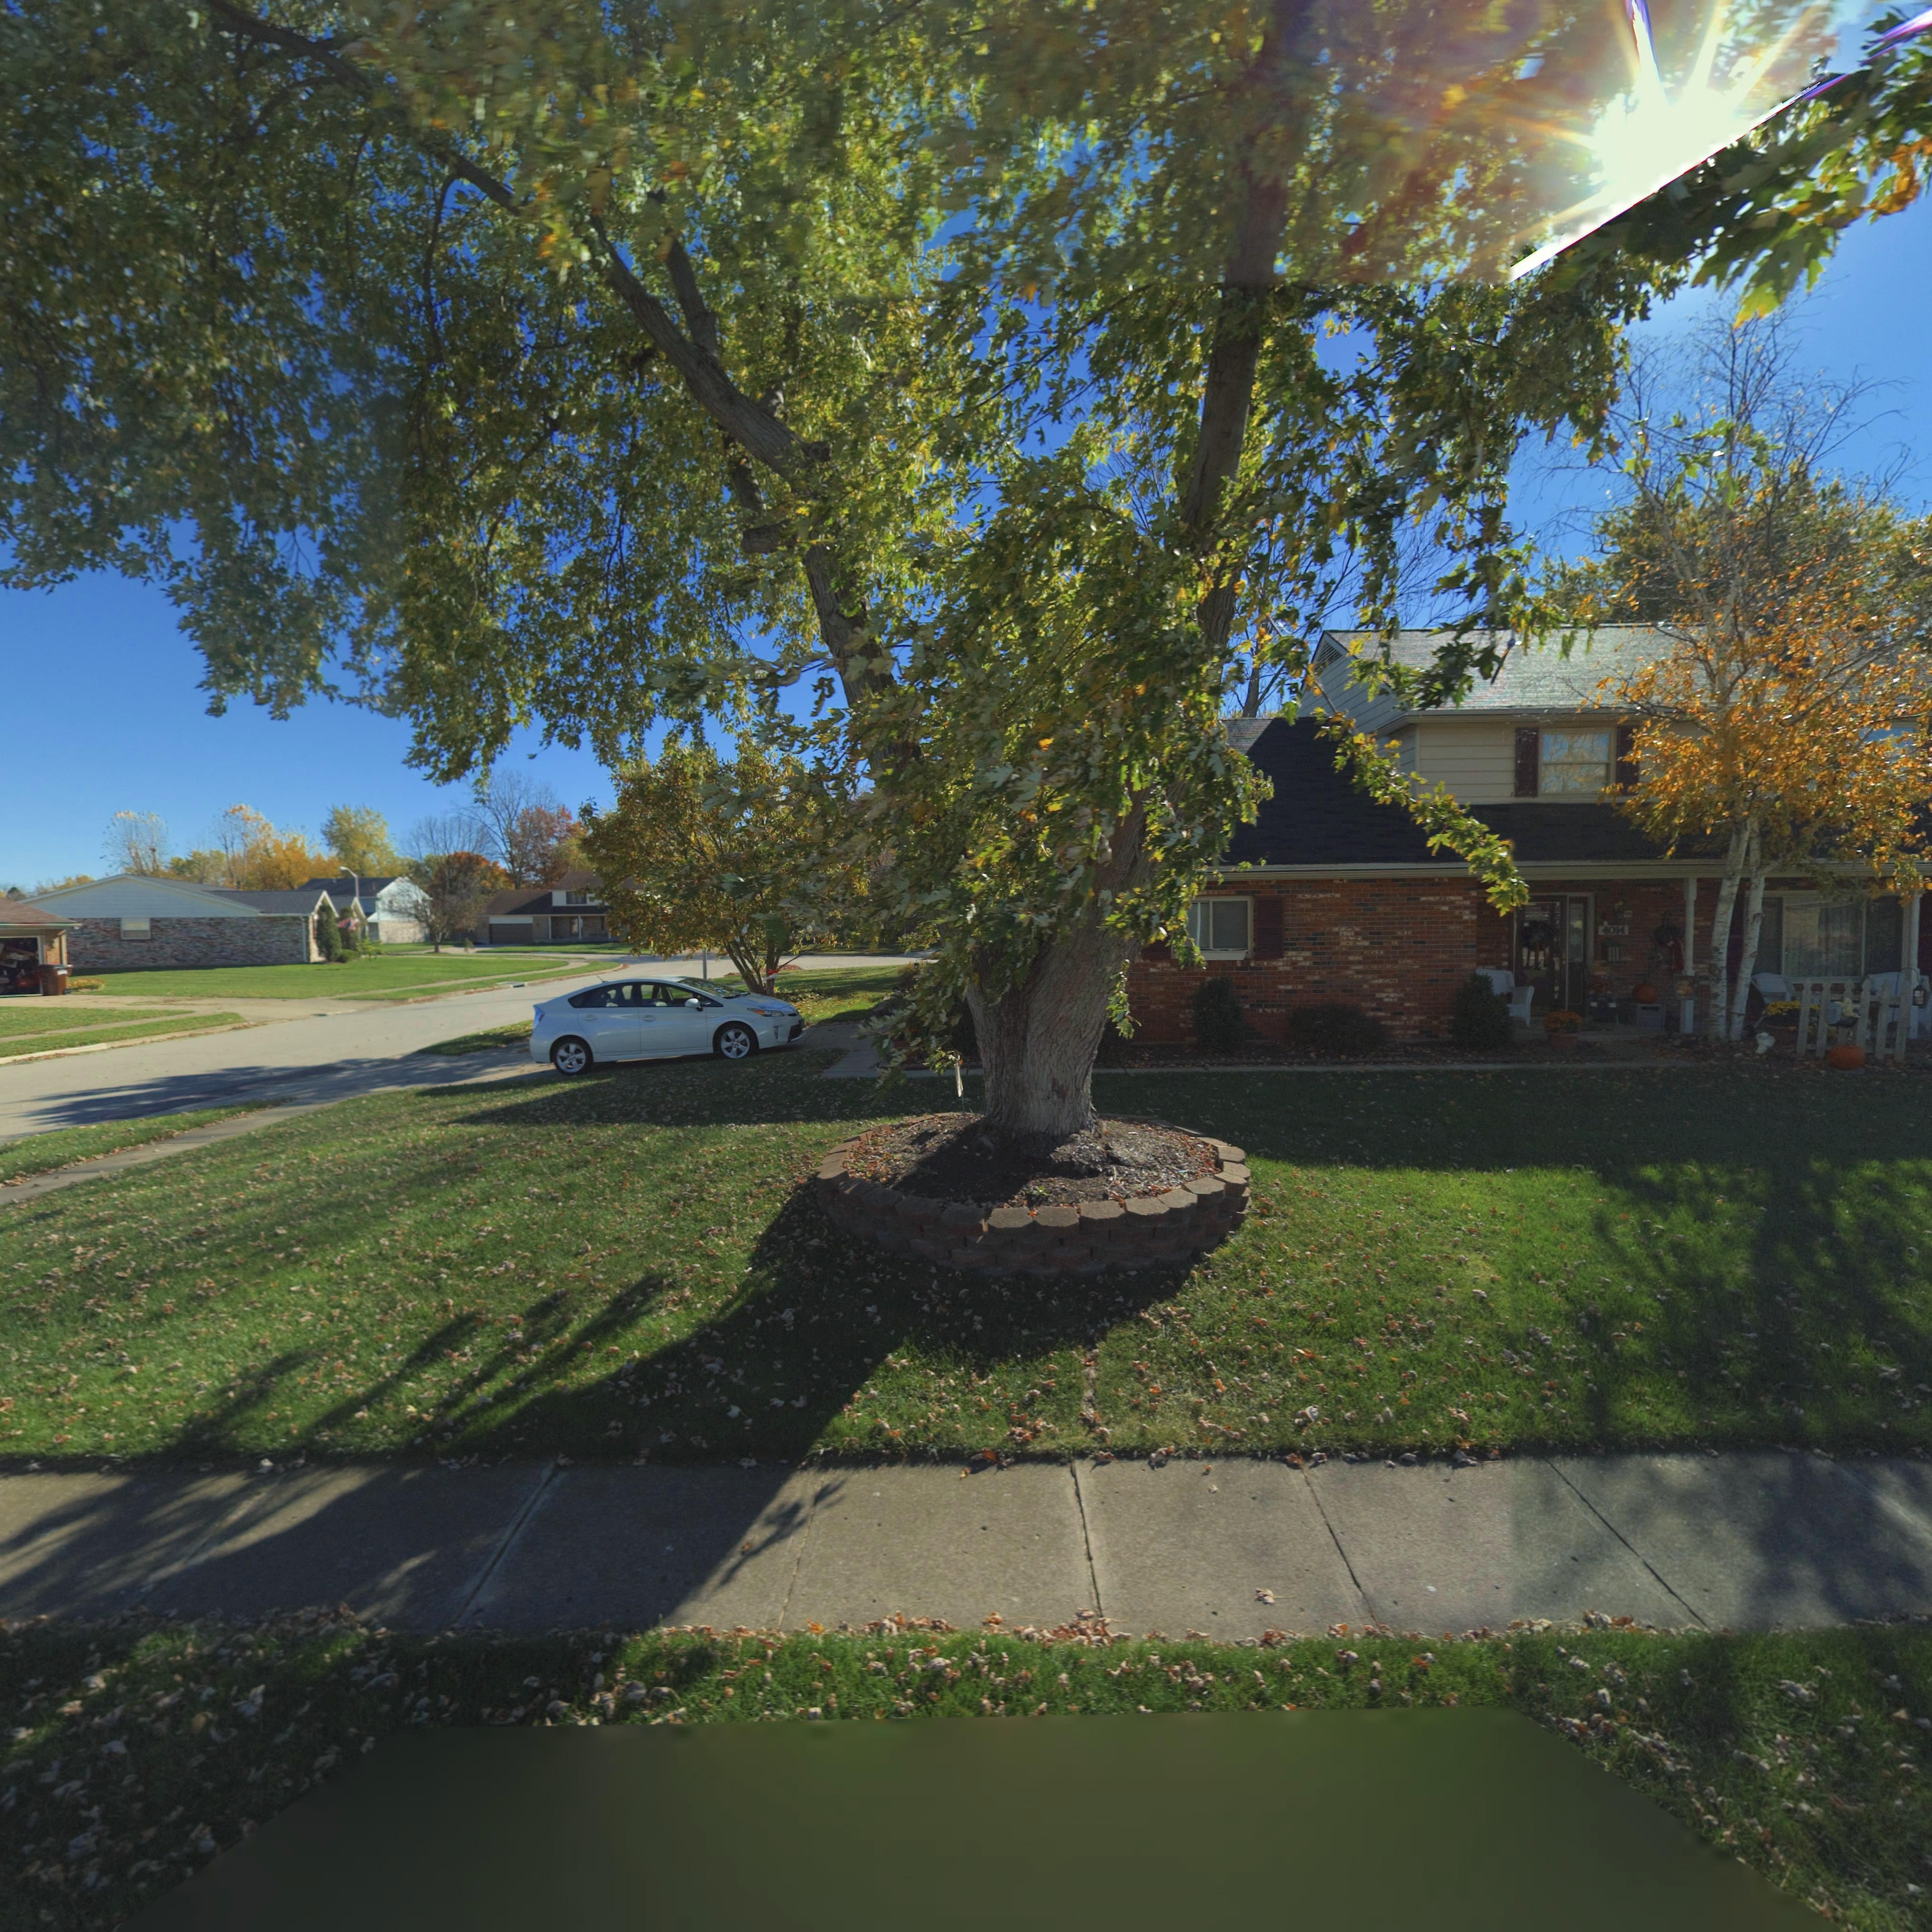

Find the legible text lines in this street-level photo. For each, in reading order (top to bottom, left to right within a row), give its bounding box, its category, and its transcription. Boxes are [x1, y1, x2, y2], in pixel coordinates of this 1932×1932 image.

[1601, 926, 1626, 935] StreetNumber: 4014